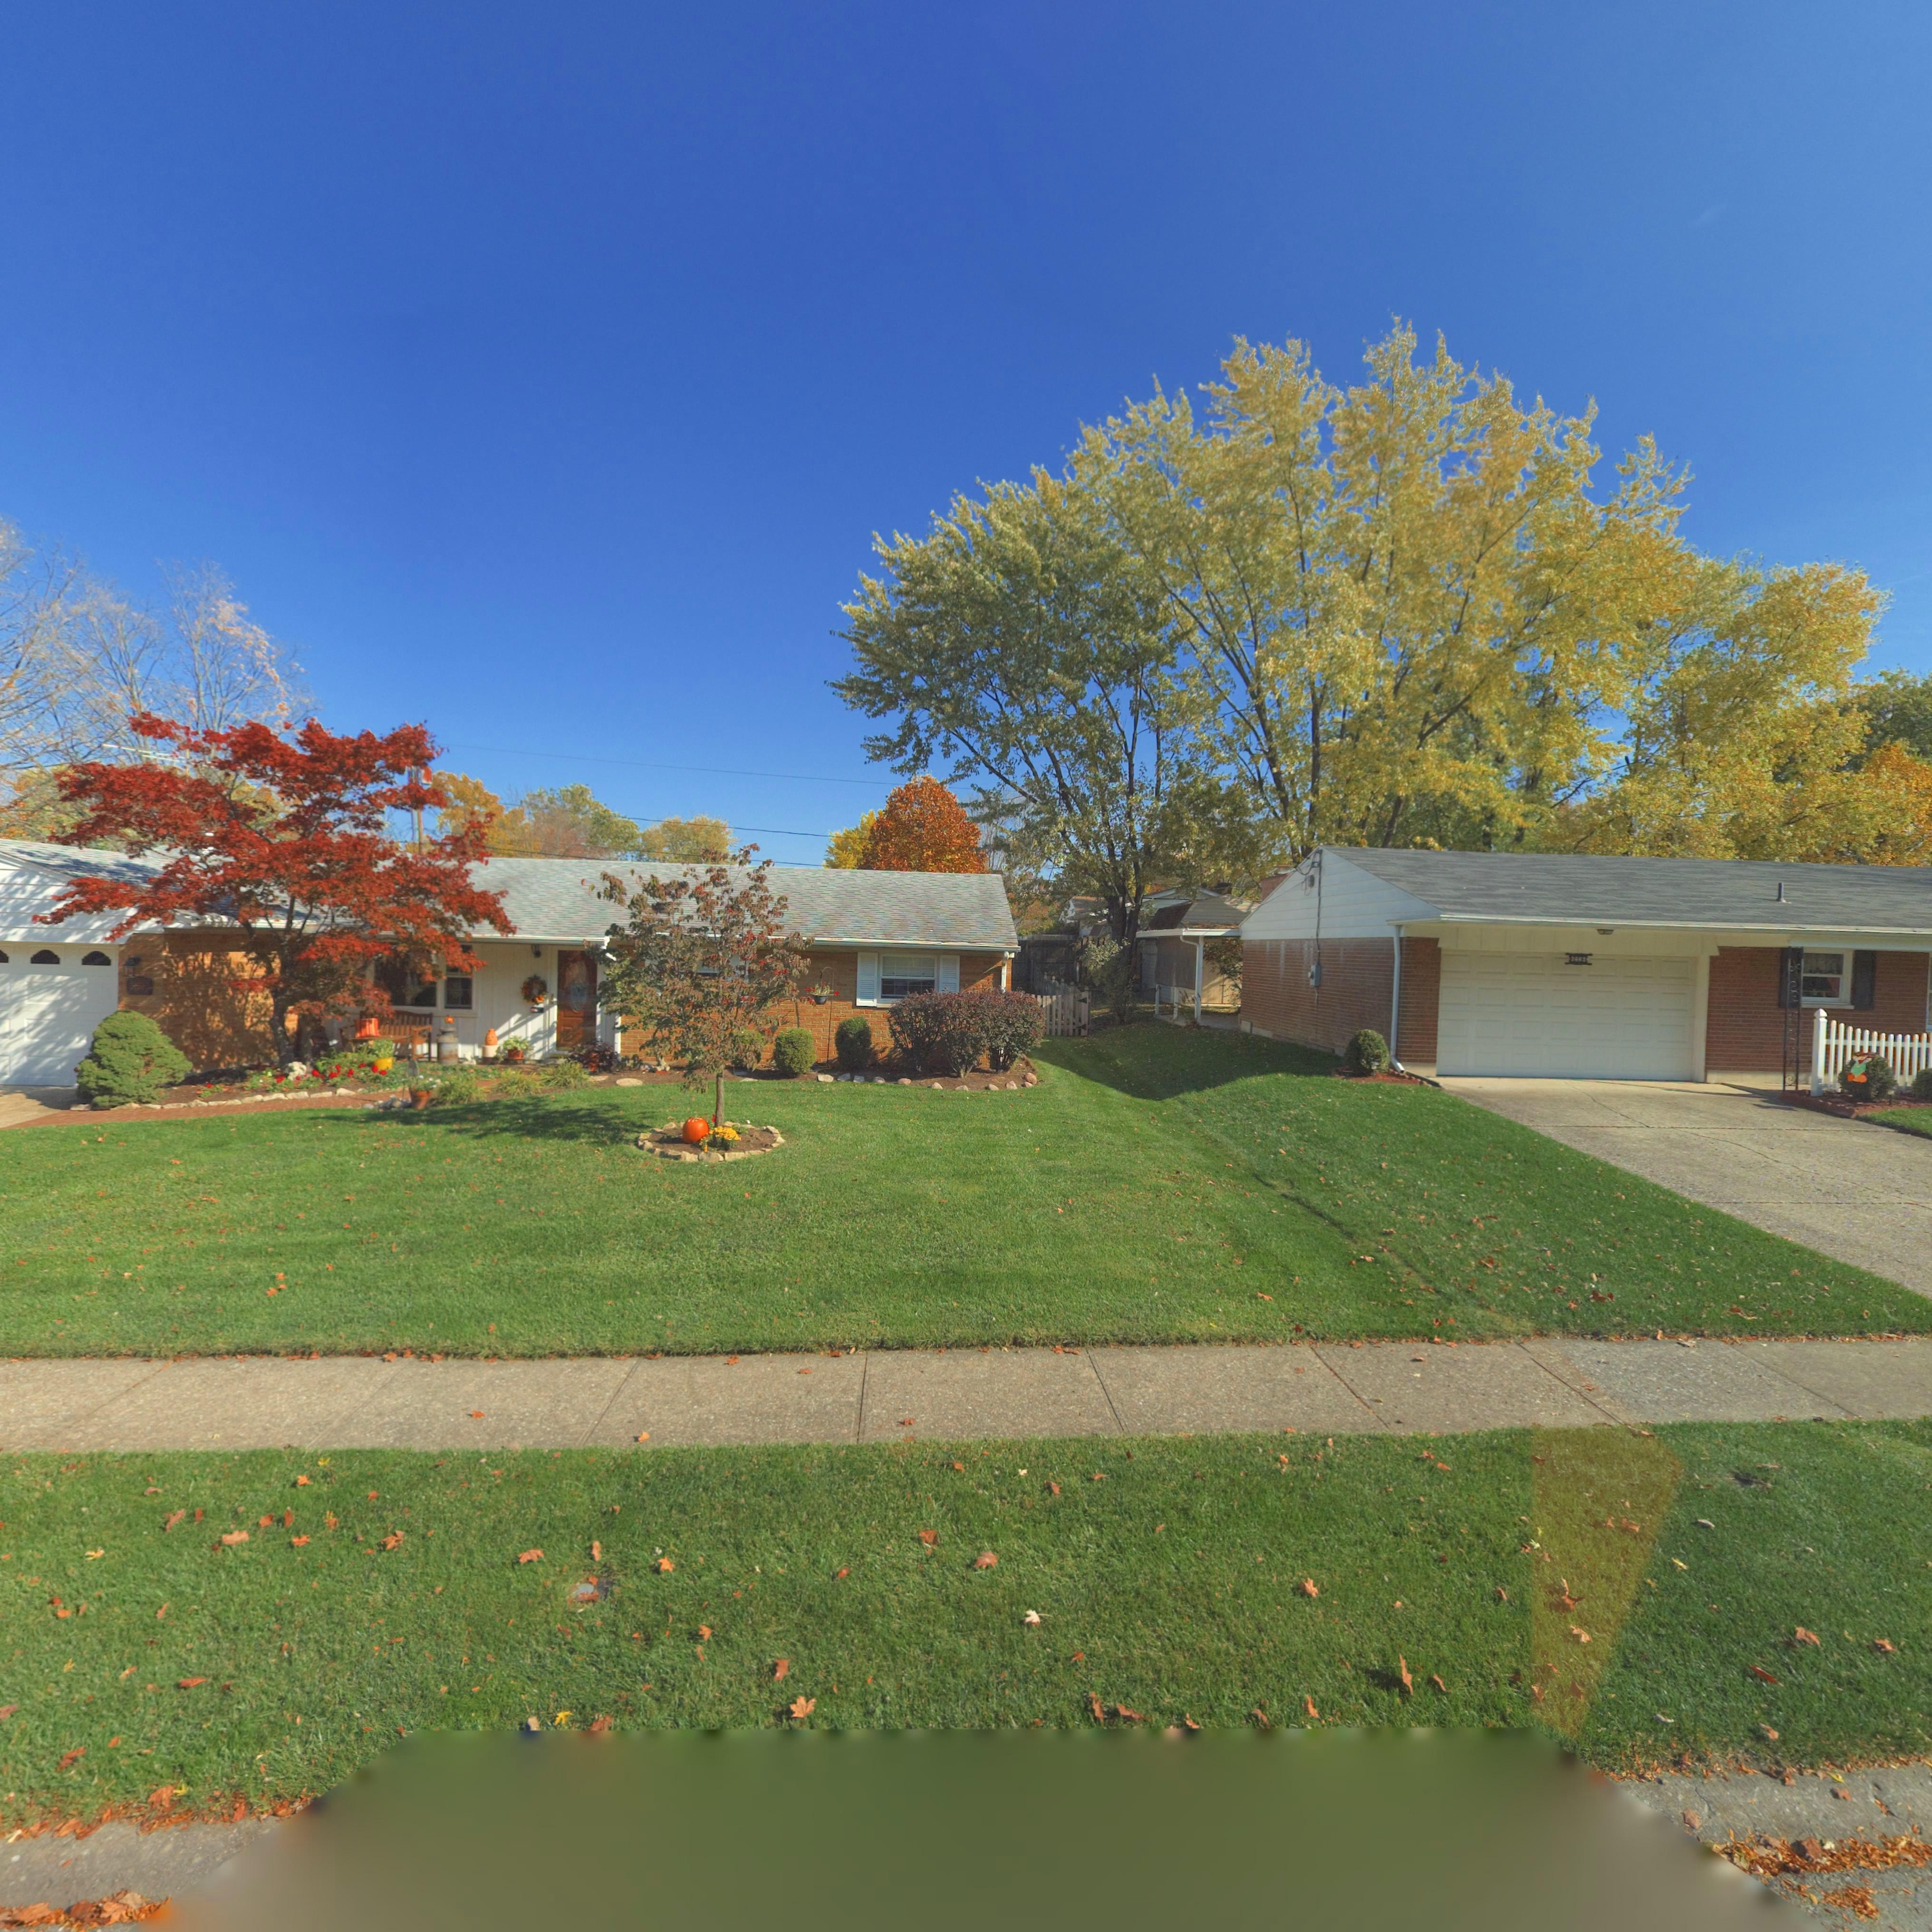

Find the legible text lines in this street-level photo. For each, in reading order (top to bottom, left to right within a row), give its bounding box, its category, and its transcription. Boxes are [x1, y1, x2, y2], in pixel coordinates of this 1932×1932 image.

[1570, 956, 1587, 963] StreetNumber: 36*2